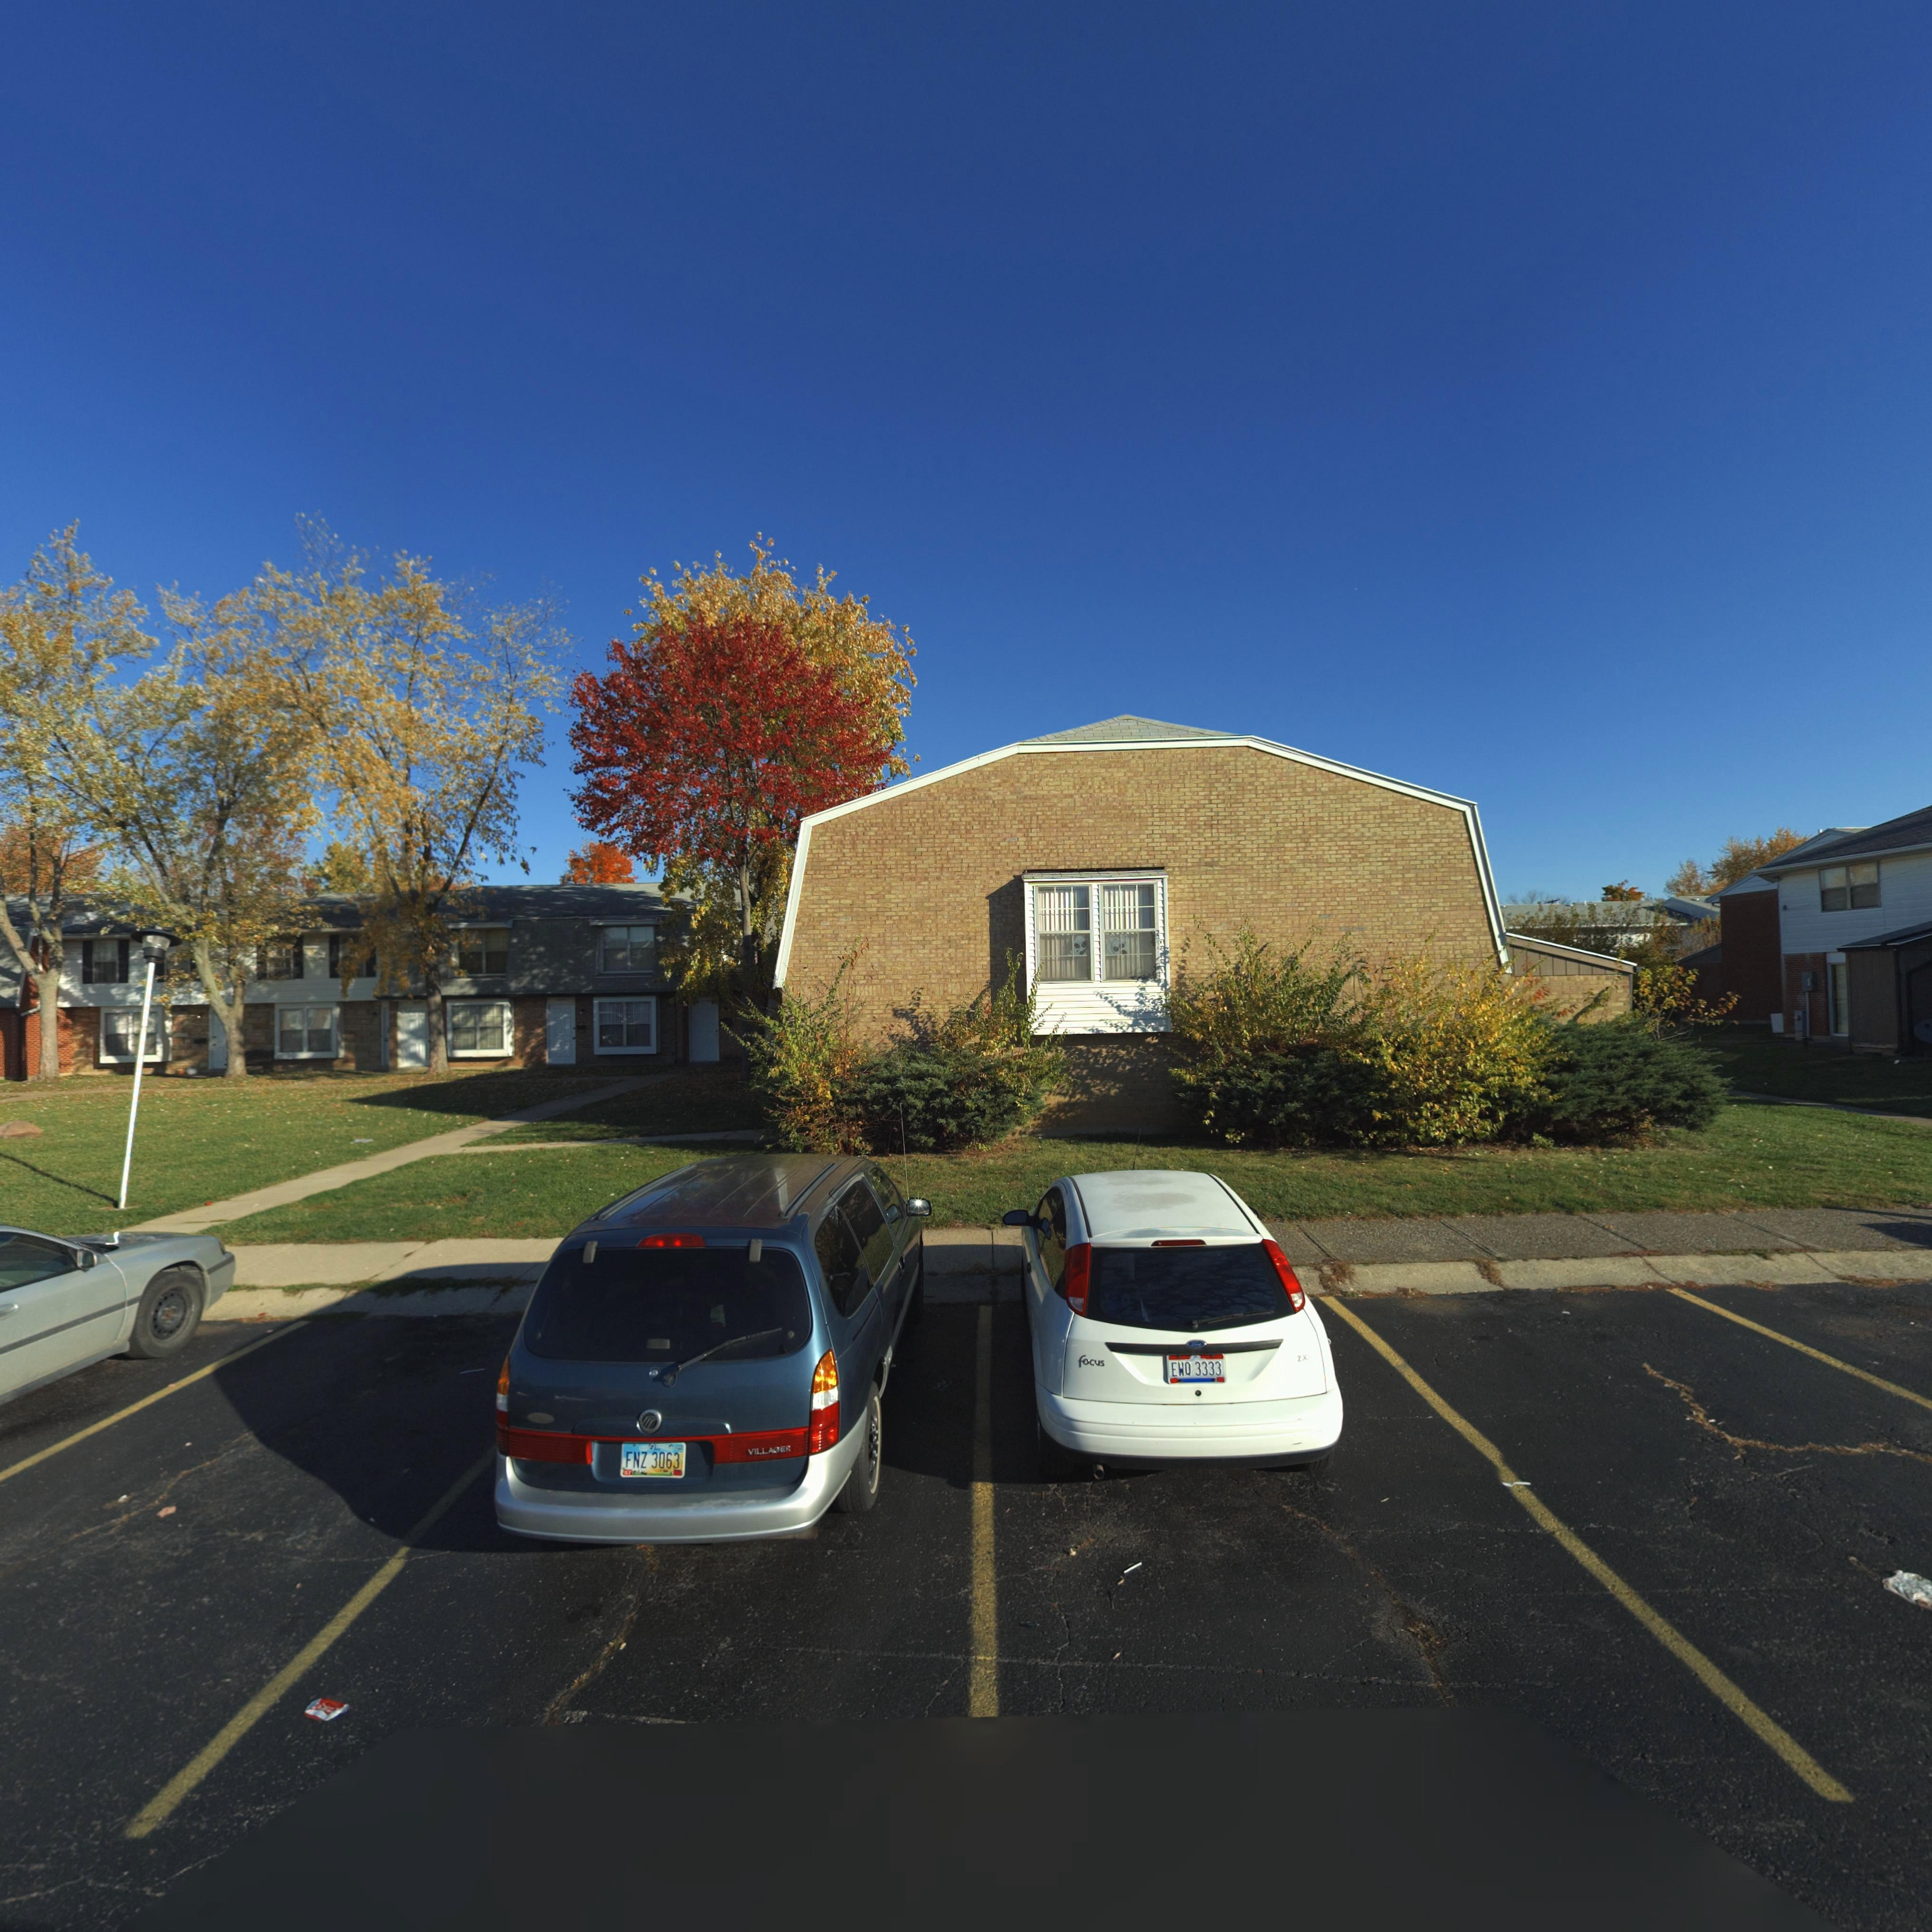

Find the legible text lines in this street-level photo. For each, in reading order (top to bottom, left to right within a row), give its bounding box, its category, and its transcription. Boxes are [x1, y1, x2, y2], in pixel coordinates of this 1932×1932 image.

[555, 997, 567, 1001] StreetNumber: 7***